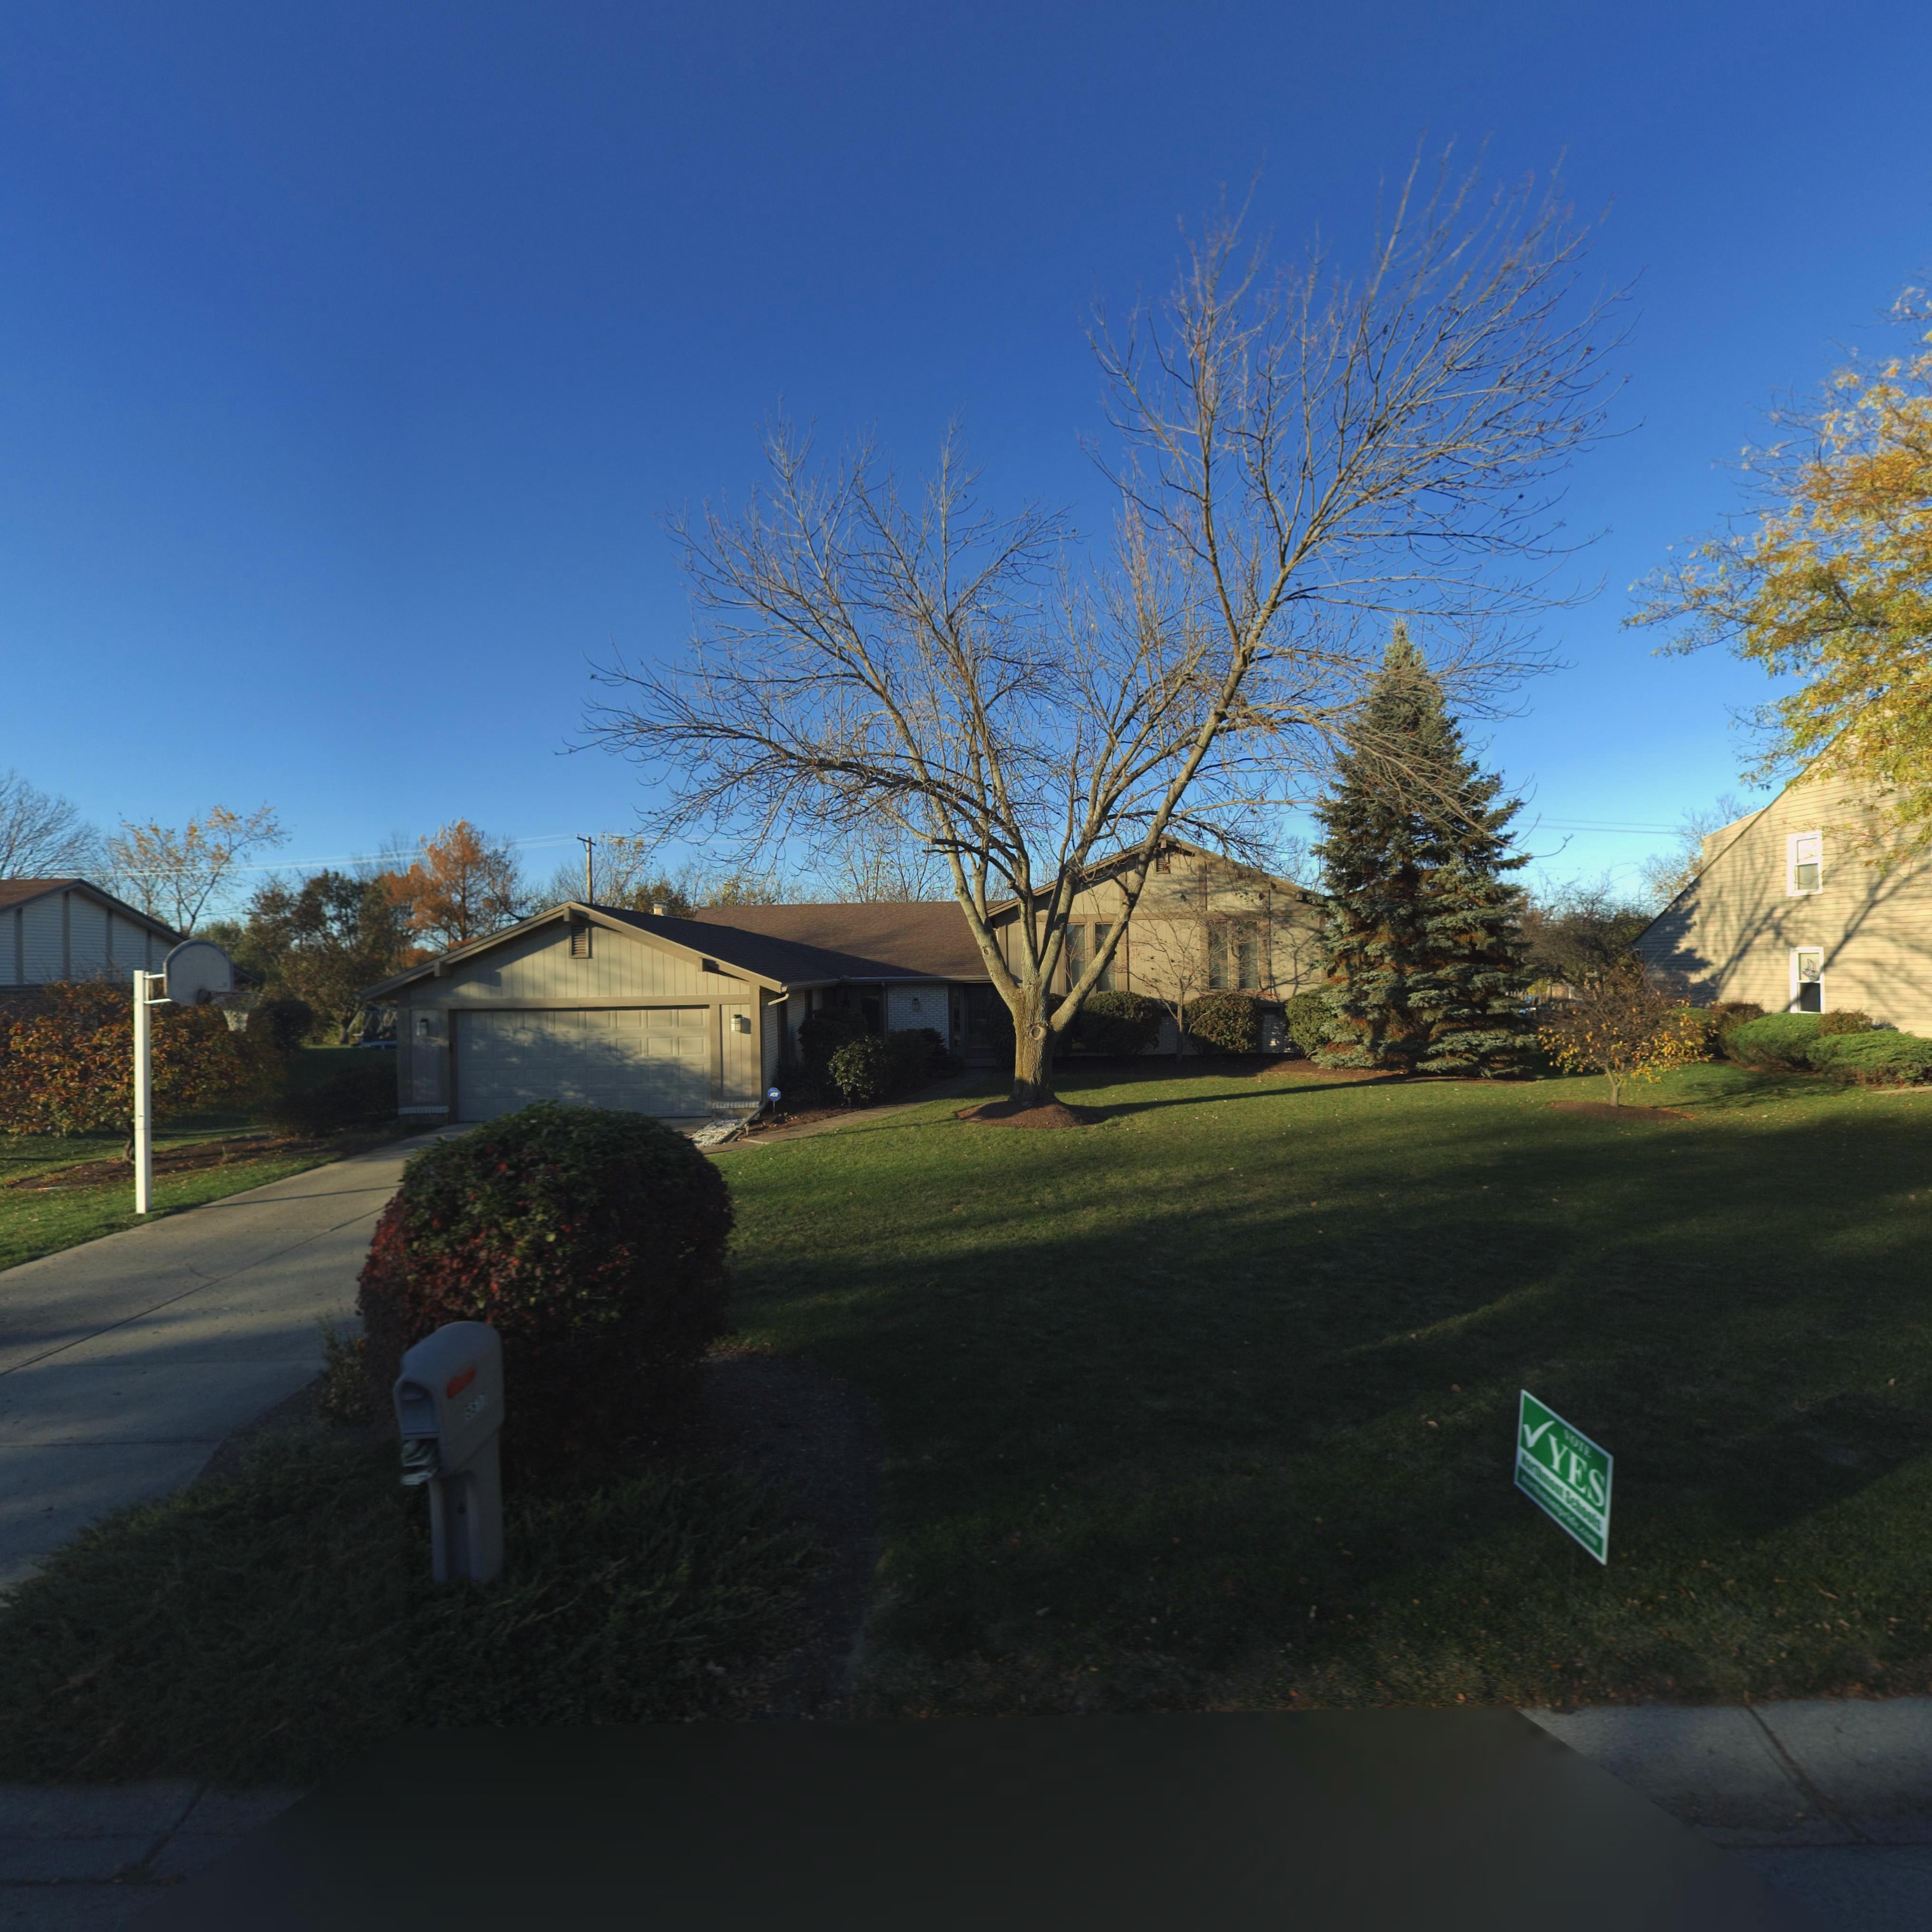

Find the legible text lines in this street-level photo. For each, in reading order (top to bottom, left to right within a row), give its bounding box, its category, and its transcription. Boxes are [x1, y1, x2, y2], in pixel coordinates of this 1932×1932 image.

[464, 1388, 488, 1421] StreetNumber: 5***